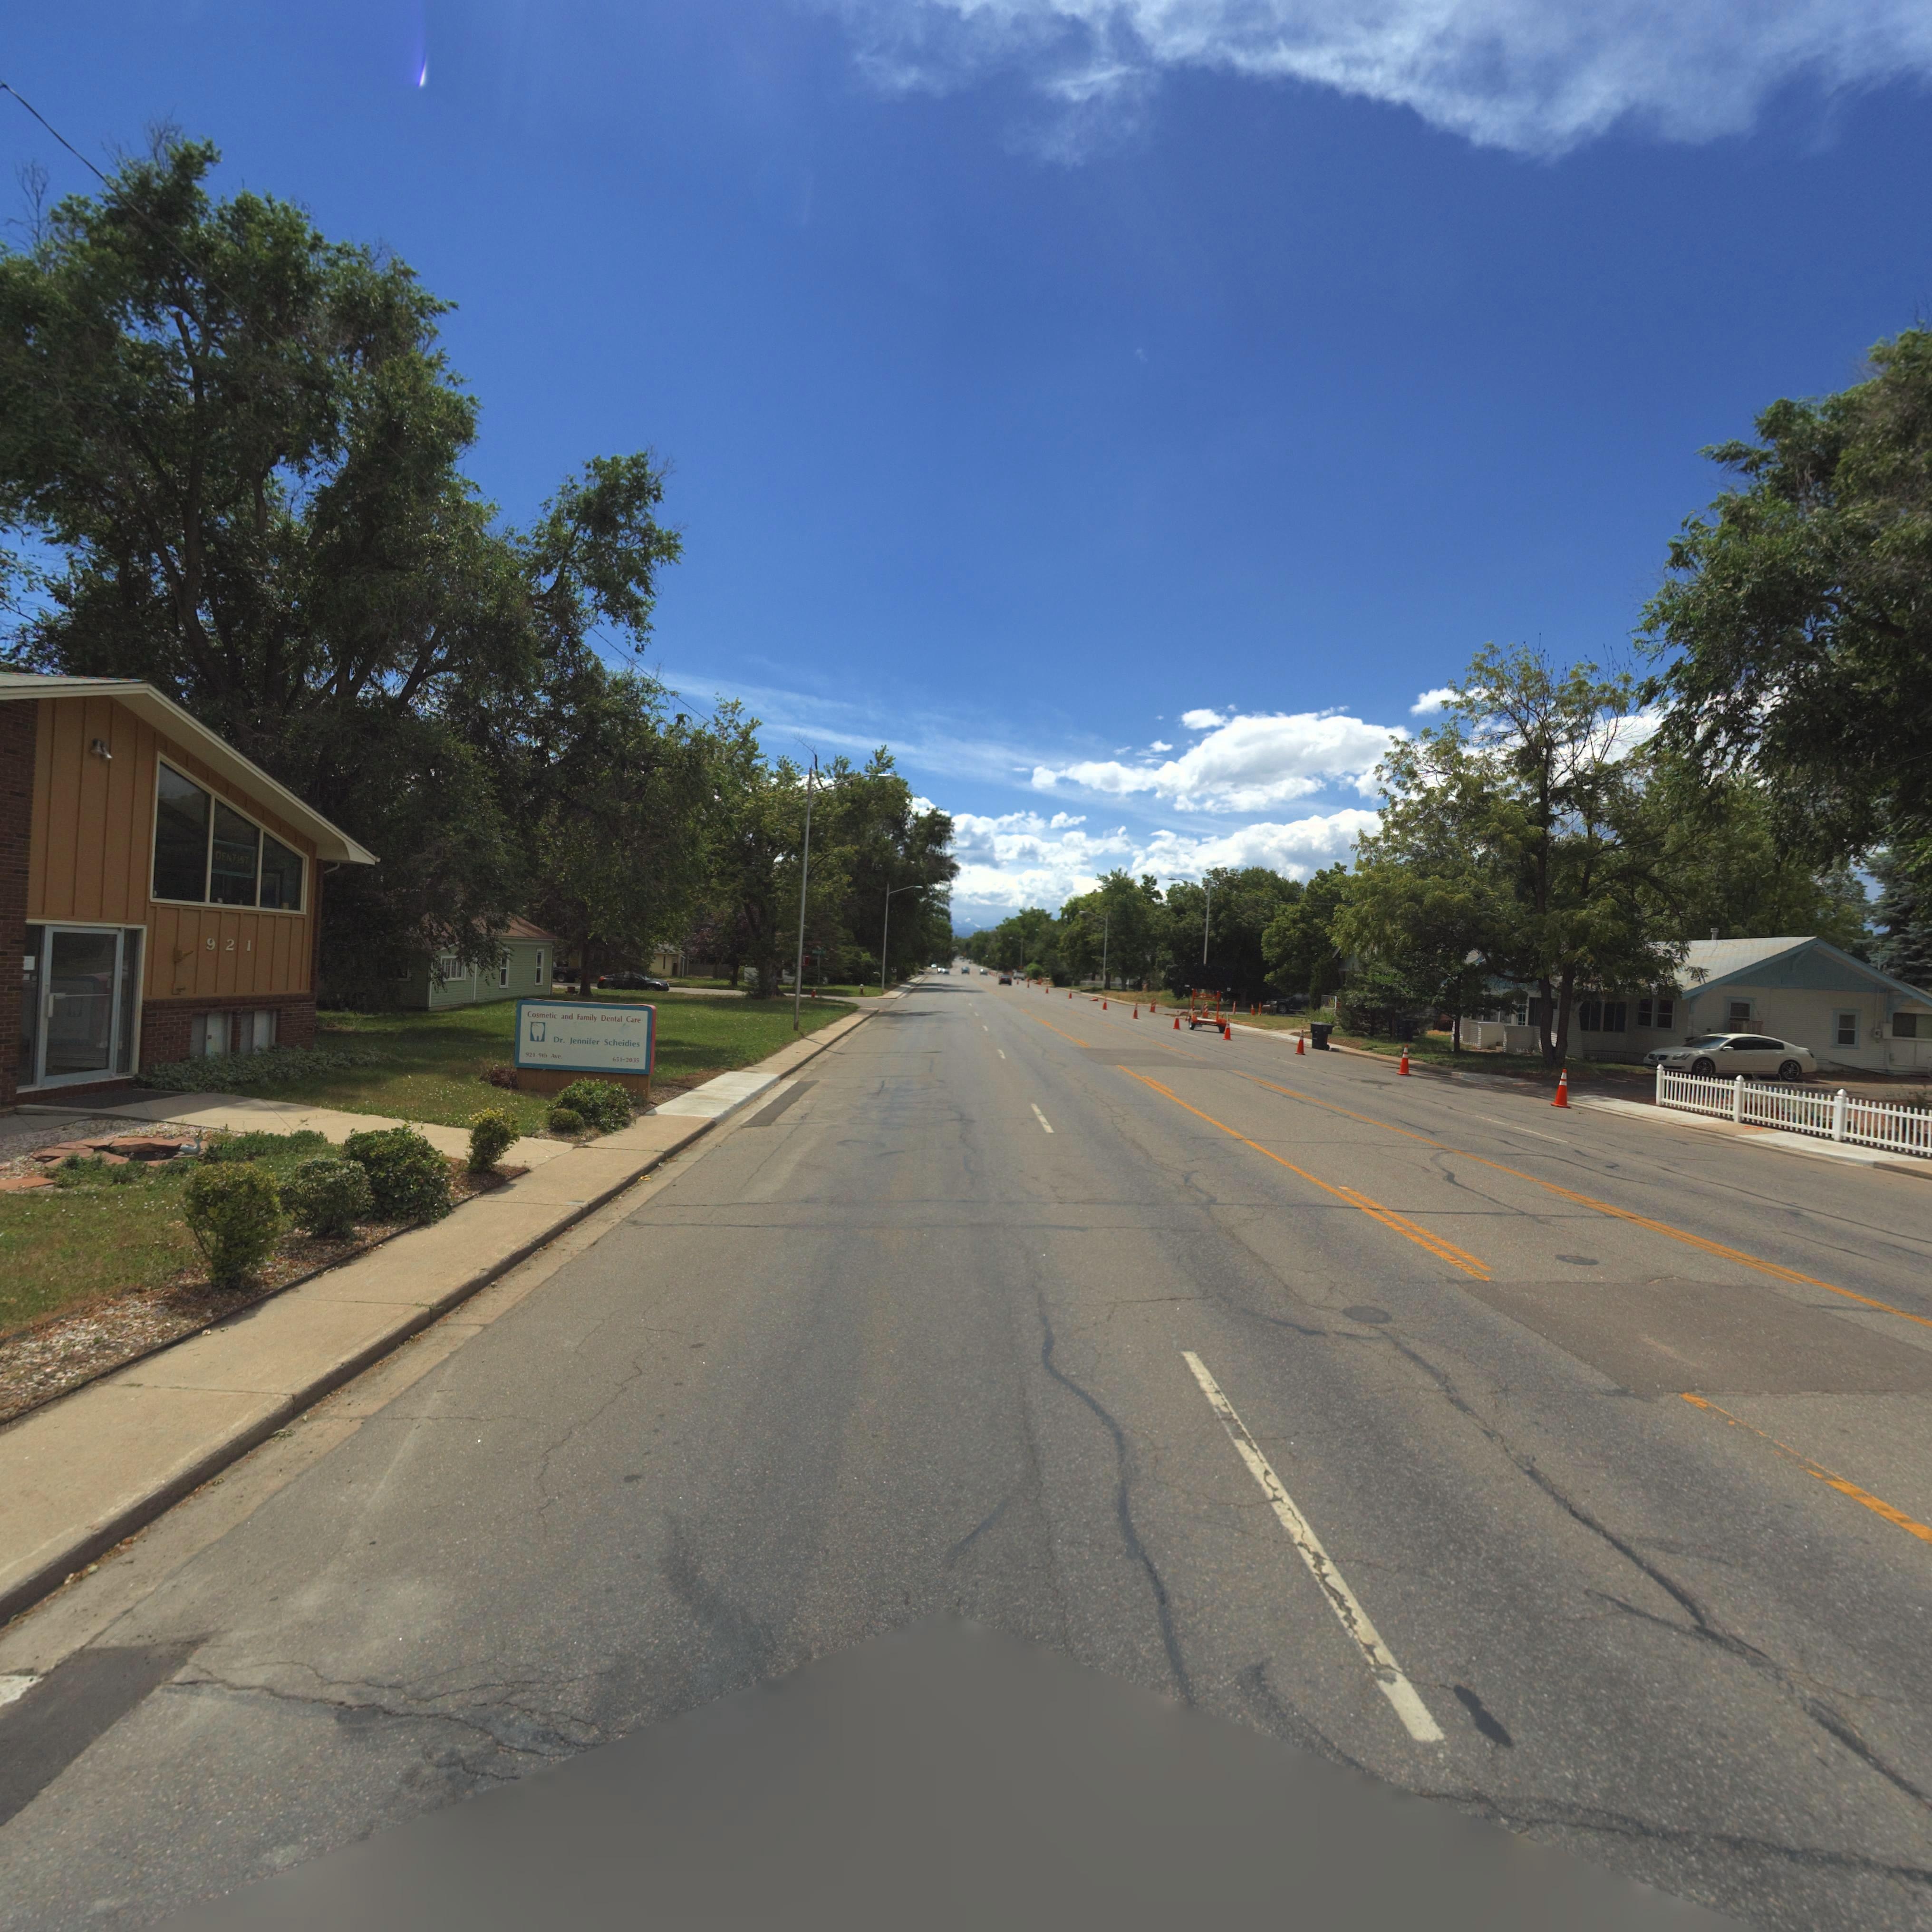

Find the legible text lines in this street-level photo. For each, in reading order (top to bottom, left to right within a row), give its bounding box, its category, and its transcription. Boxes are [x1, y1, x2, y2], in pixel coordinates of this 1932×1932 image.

[205, 937, 251, 951] StreetNumber: 921
[527, 1010, 642, 1023] BusinessName: Cosmetic and Family Dental Care
[553, 1035, 640, 1047] BusinessName: Dr. Jennifer Scheidies
[525, 1052, 535, 1057] StreetNumber: 921
[538, 1053, 563, 1059] StreetName: 9th Ave*